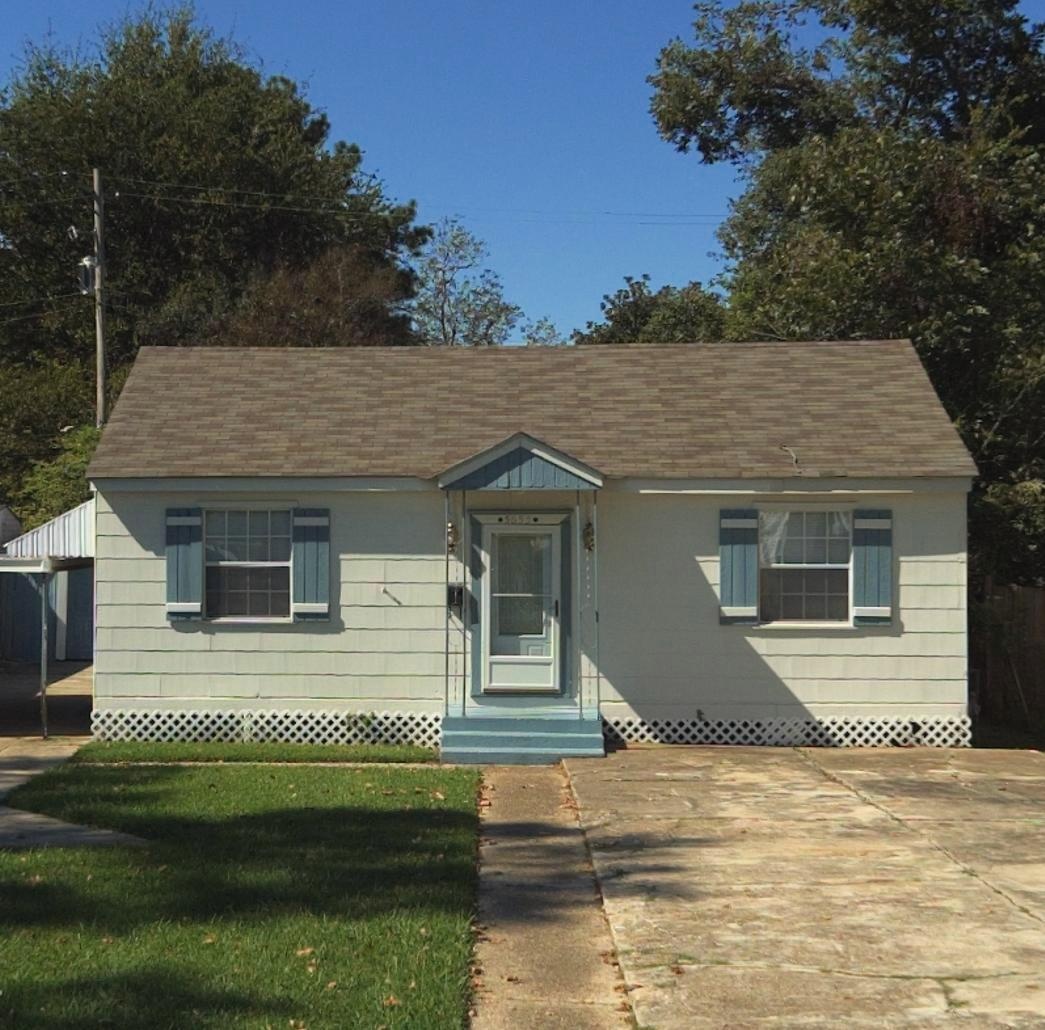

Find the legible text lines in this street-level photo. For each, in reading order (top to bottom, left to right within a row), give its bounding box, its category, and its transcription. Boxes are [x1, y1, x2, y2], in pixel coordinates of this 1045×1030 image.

[503, 514, 533, 525] StreetNumber: 5655